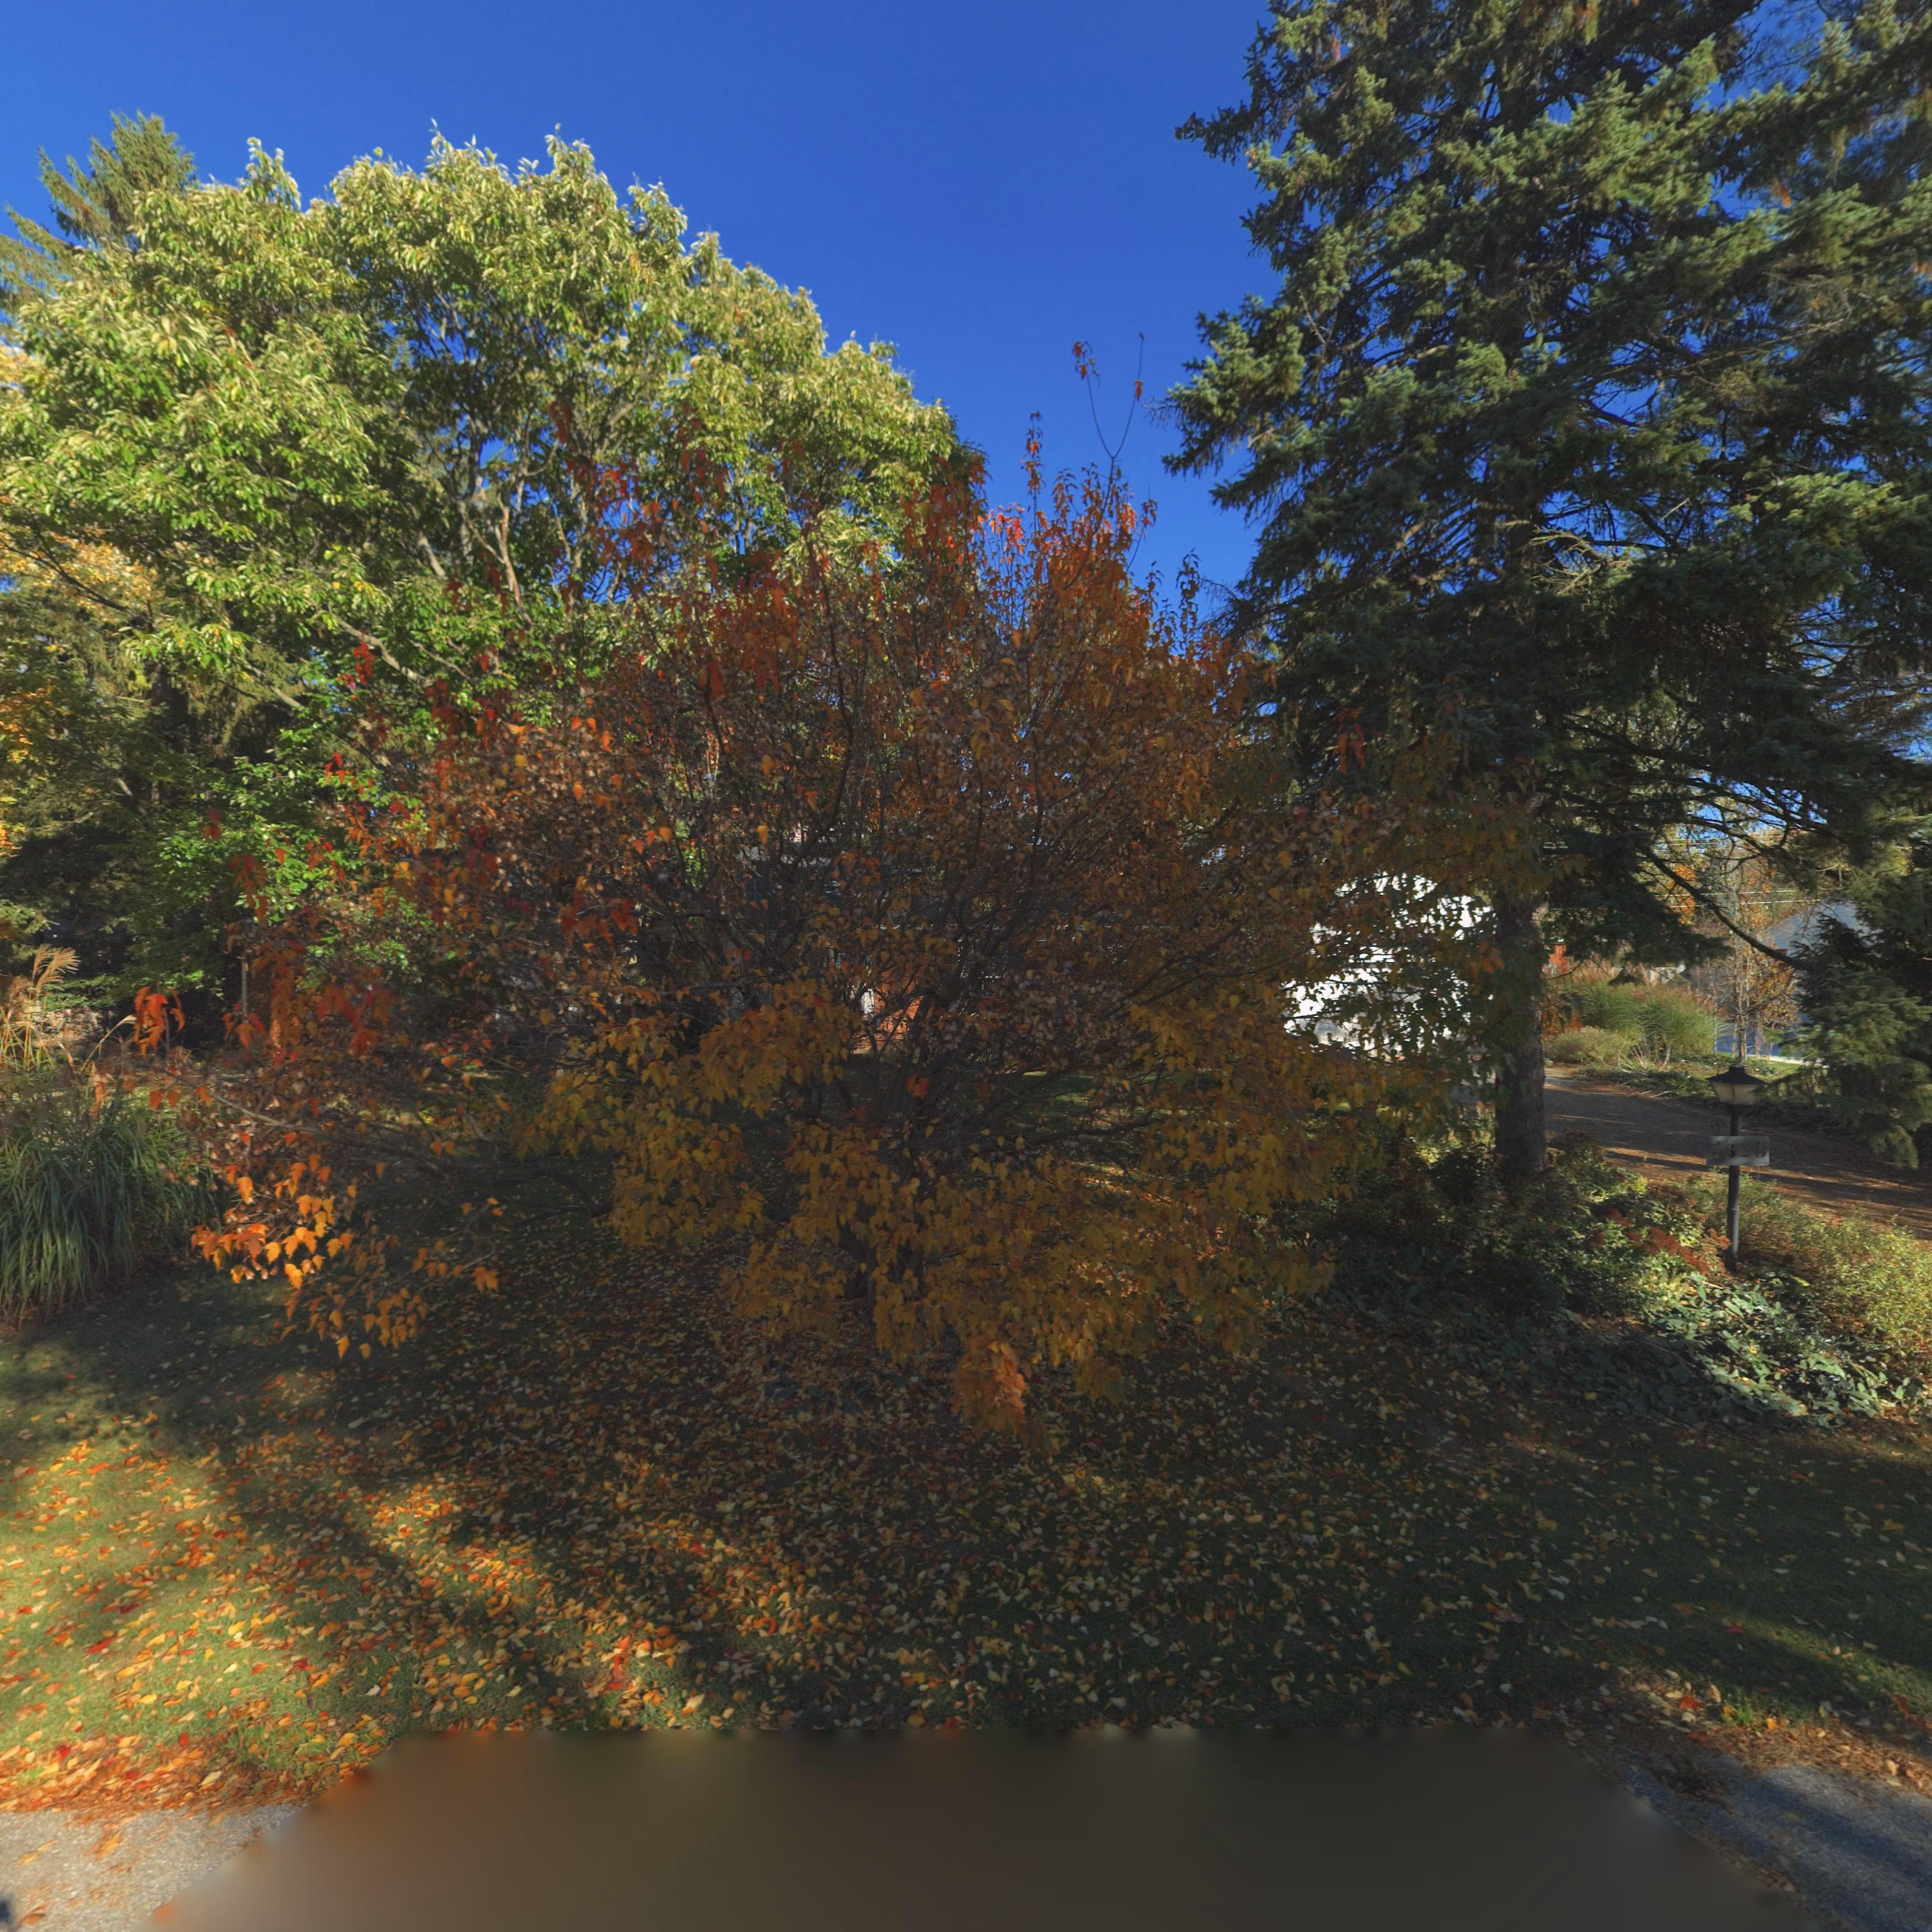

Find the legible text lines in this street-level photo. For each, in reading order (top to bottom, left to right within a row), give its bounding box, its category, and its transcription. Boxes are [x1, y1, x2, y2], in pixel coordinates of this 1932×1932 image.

[1709, 1140, 1769, 1159] StreetNumber: 5626